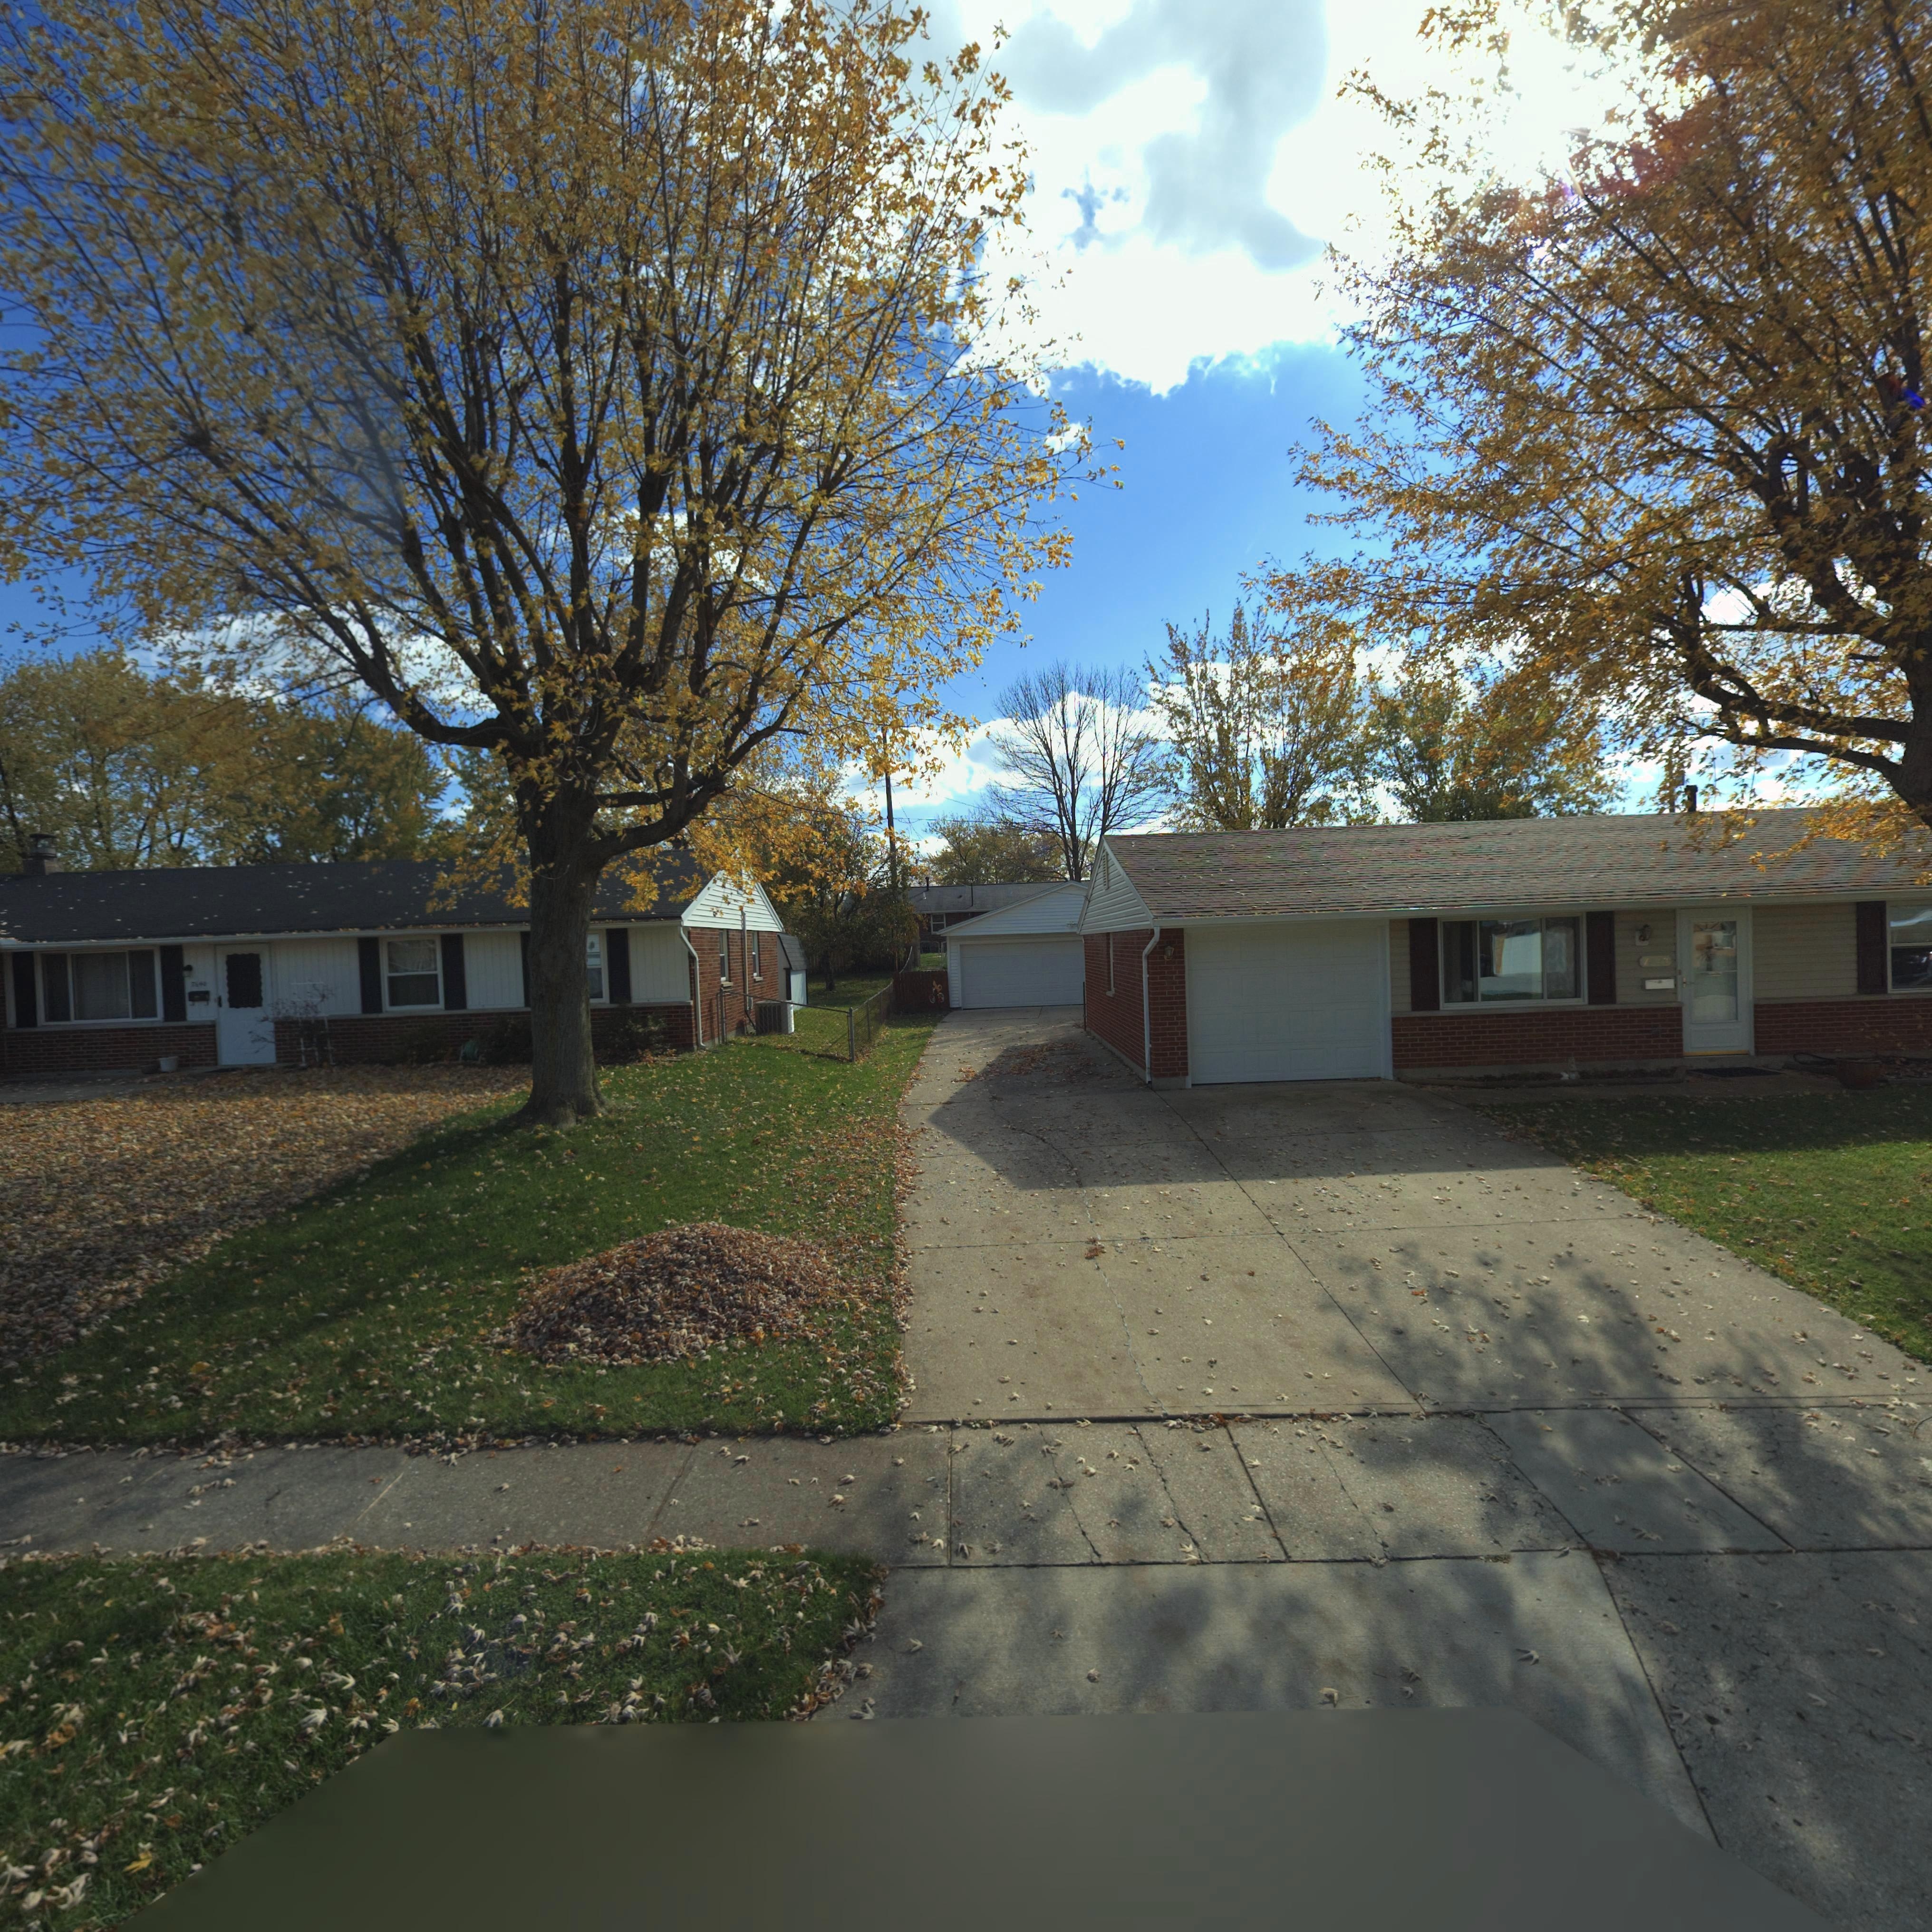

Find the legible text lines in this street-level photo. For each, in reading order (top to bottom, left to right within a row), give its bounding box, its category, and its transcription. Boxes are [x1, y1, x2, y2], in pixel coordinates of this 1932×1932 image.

[1641, 956, 1669, 966] StreetNumber: 7***
[191, 981, 207, 987] StreetNumber: 7*40